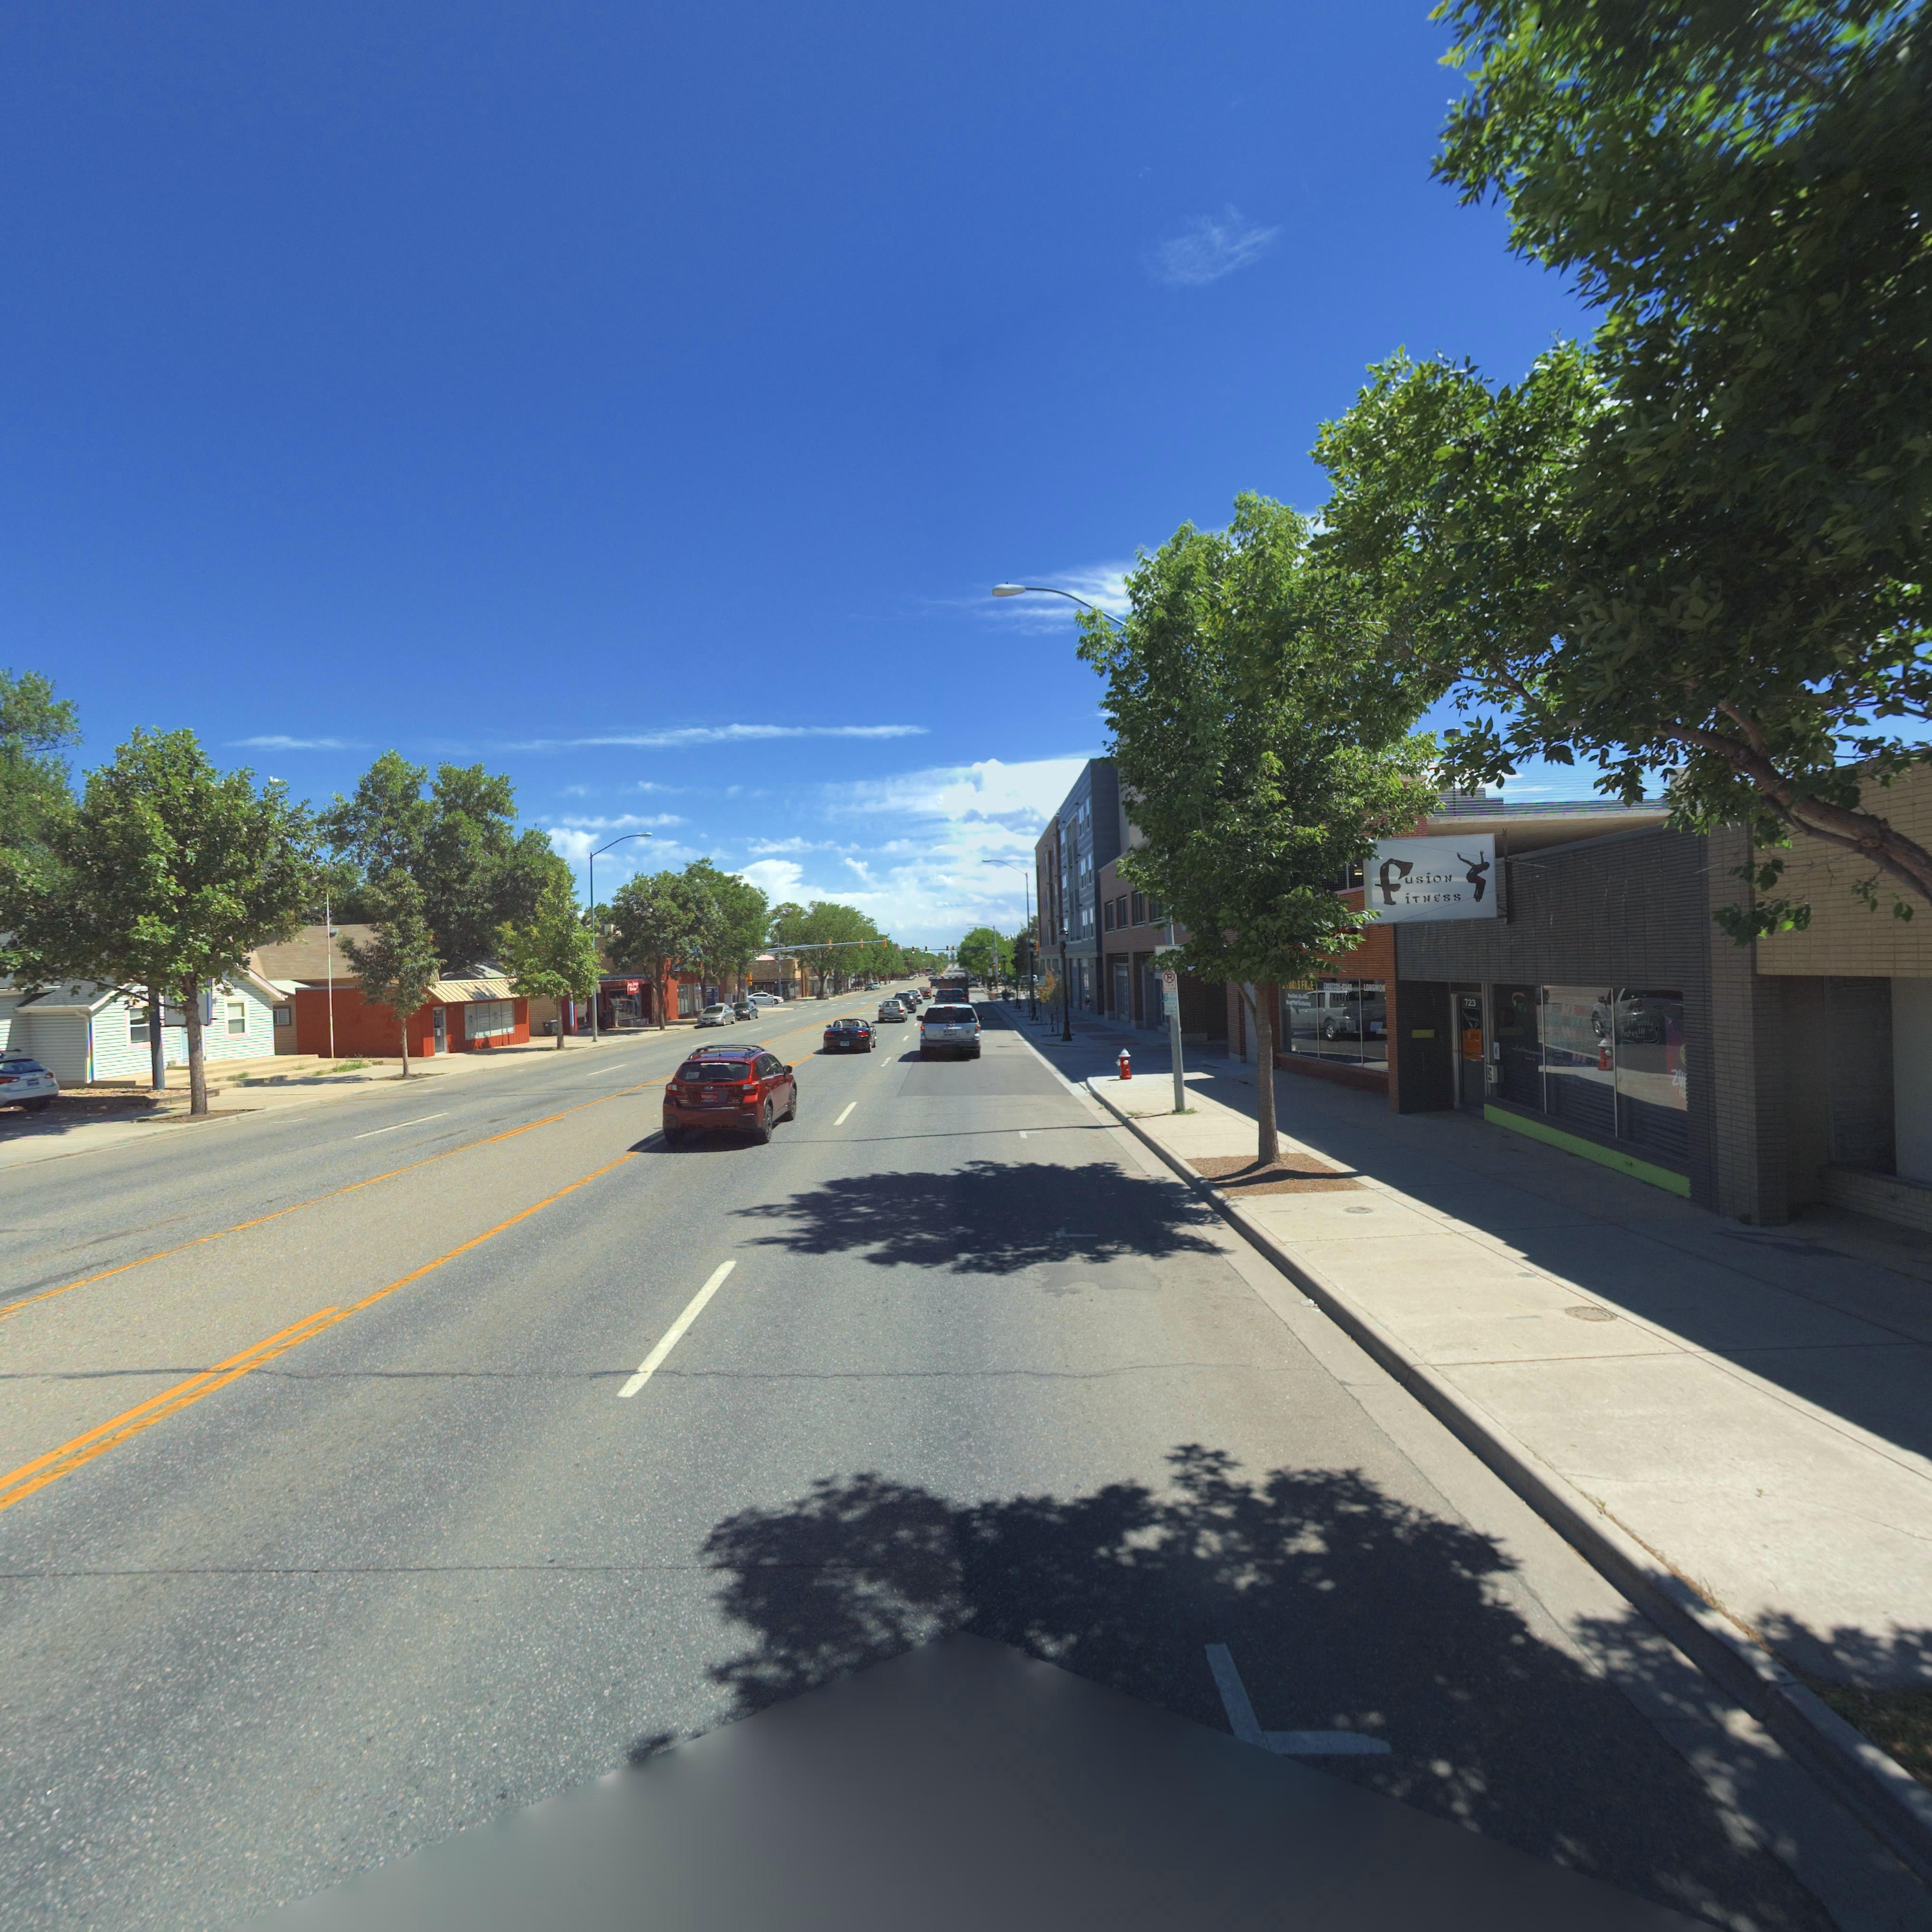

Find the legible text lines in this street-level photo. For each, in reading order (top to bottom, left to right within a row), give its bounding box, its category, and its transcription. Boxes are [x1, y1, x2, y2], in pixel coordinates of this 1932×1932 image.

[1373, 857, 1414, 906] BusinessName: f
[1404, 872, 1452, 884] BusinessName: usion
[1404, 892, 1461, 904] BusinessName: iTNE**
[1464, 998, 1476, 1007] StreetNumber: 723